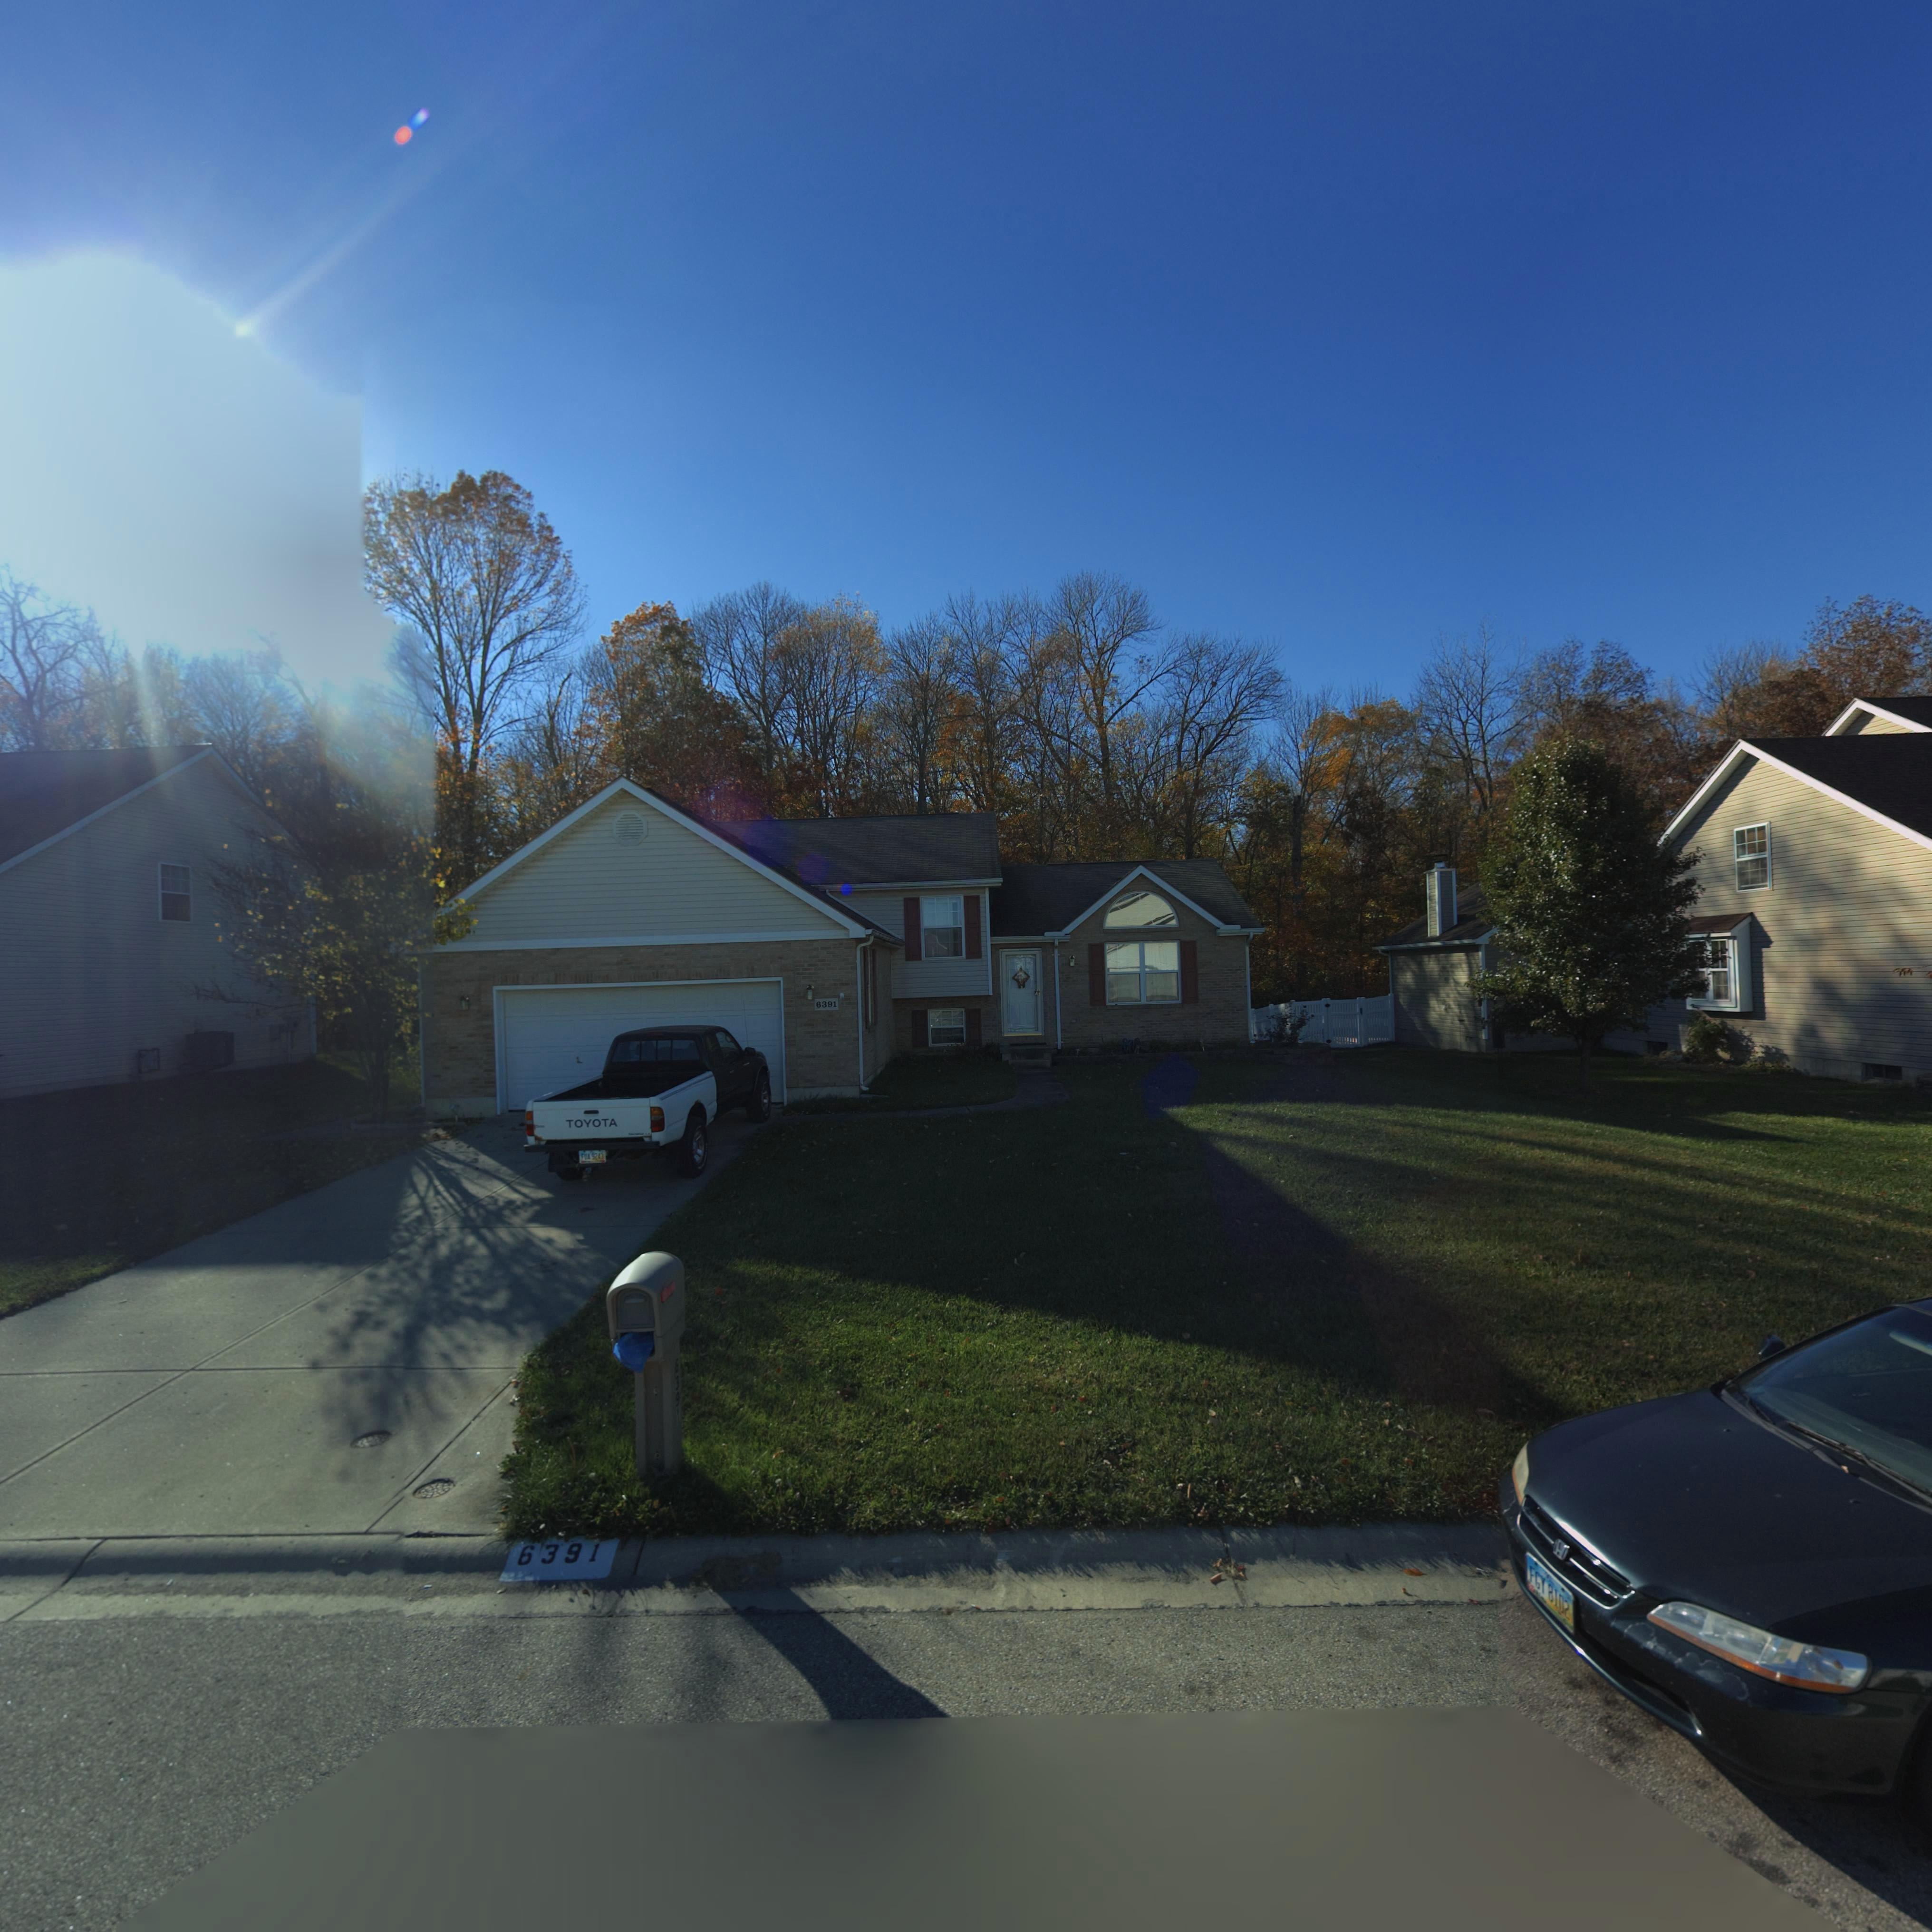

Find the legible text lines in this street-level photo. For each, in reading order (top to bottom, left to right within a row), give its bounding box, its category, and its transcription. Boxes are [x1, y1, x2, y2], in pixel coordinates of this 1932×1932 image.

[815, 1000, 837, 1008] StreetNumber: 6391
[565, 1117, 618, 1129] None: TOYOTA
[580, 1153, 604, 1161] None: F** 9243
[515, 1542, 603, 1566] StreetNumber: 6391
[1528, 1564, 1571, 1622] None: FGY 8102